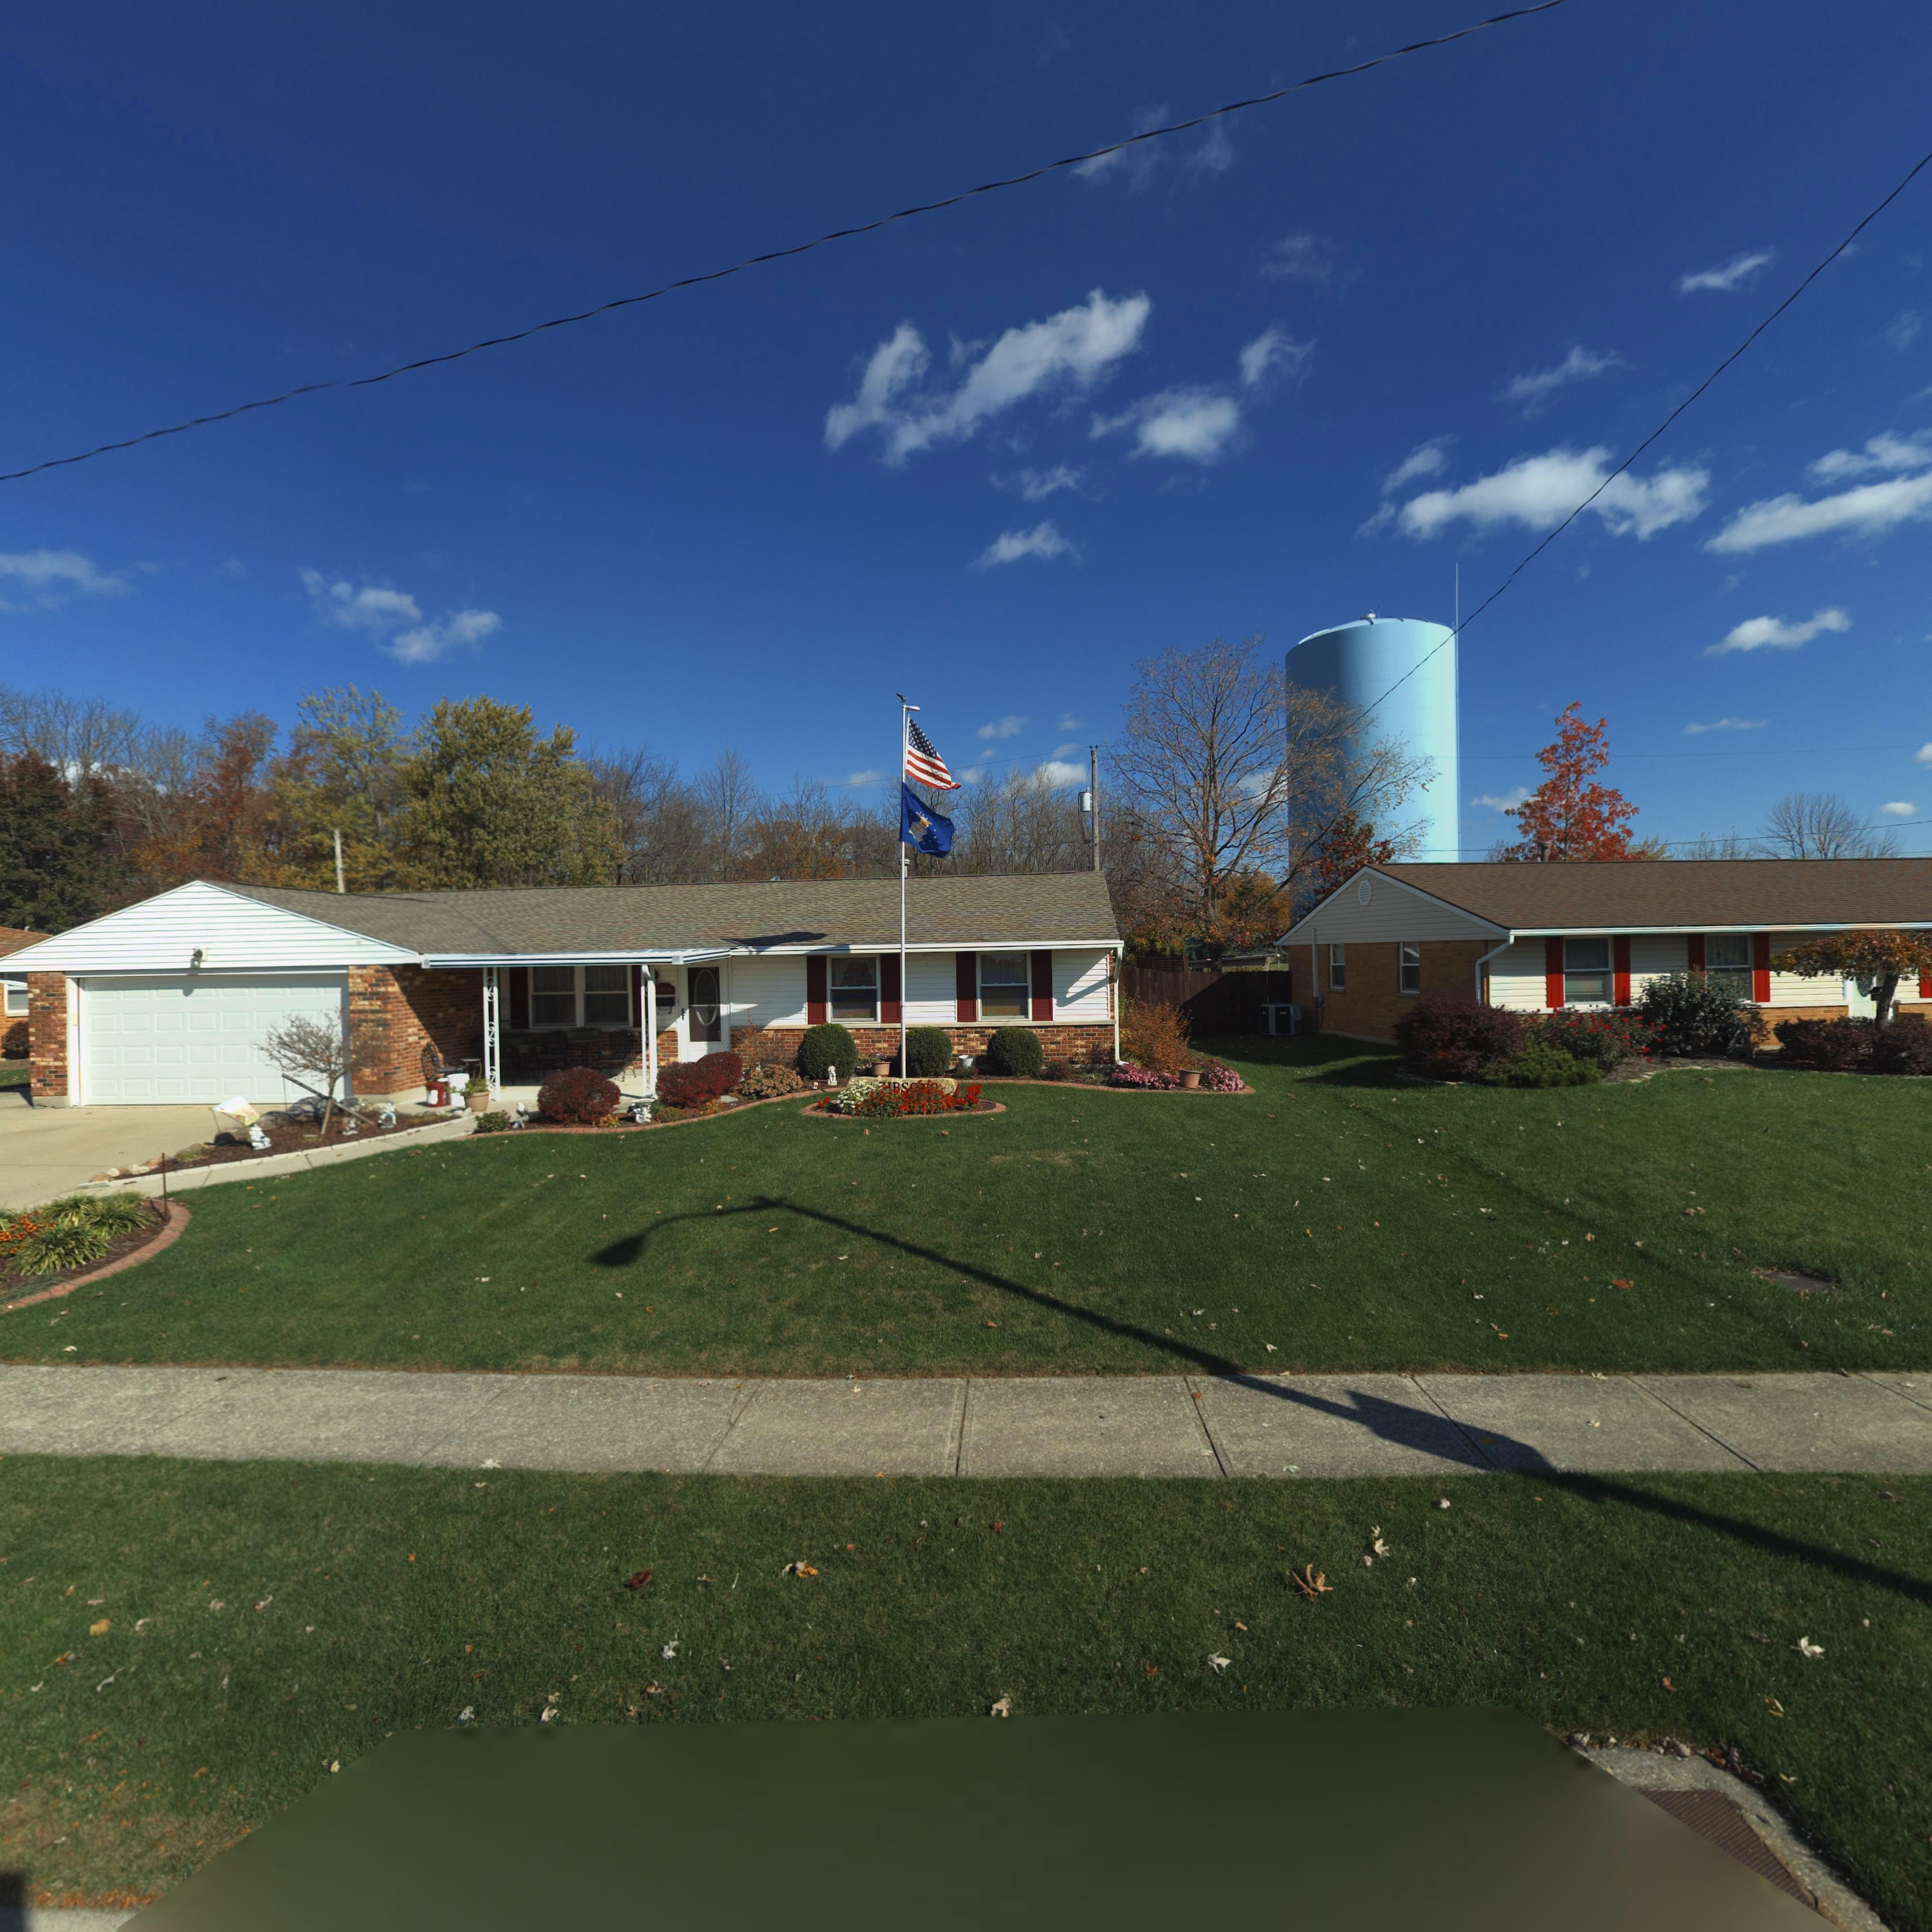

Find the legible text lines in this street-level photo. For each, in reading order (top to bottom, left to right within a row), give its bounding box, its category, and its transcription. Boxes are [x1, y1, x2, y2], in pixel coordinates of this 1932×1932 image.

[656, 985, 672, 993] StreetNumber: 6455